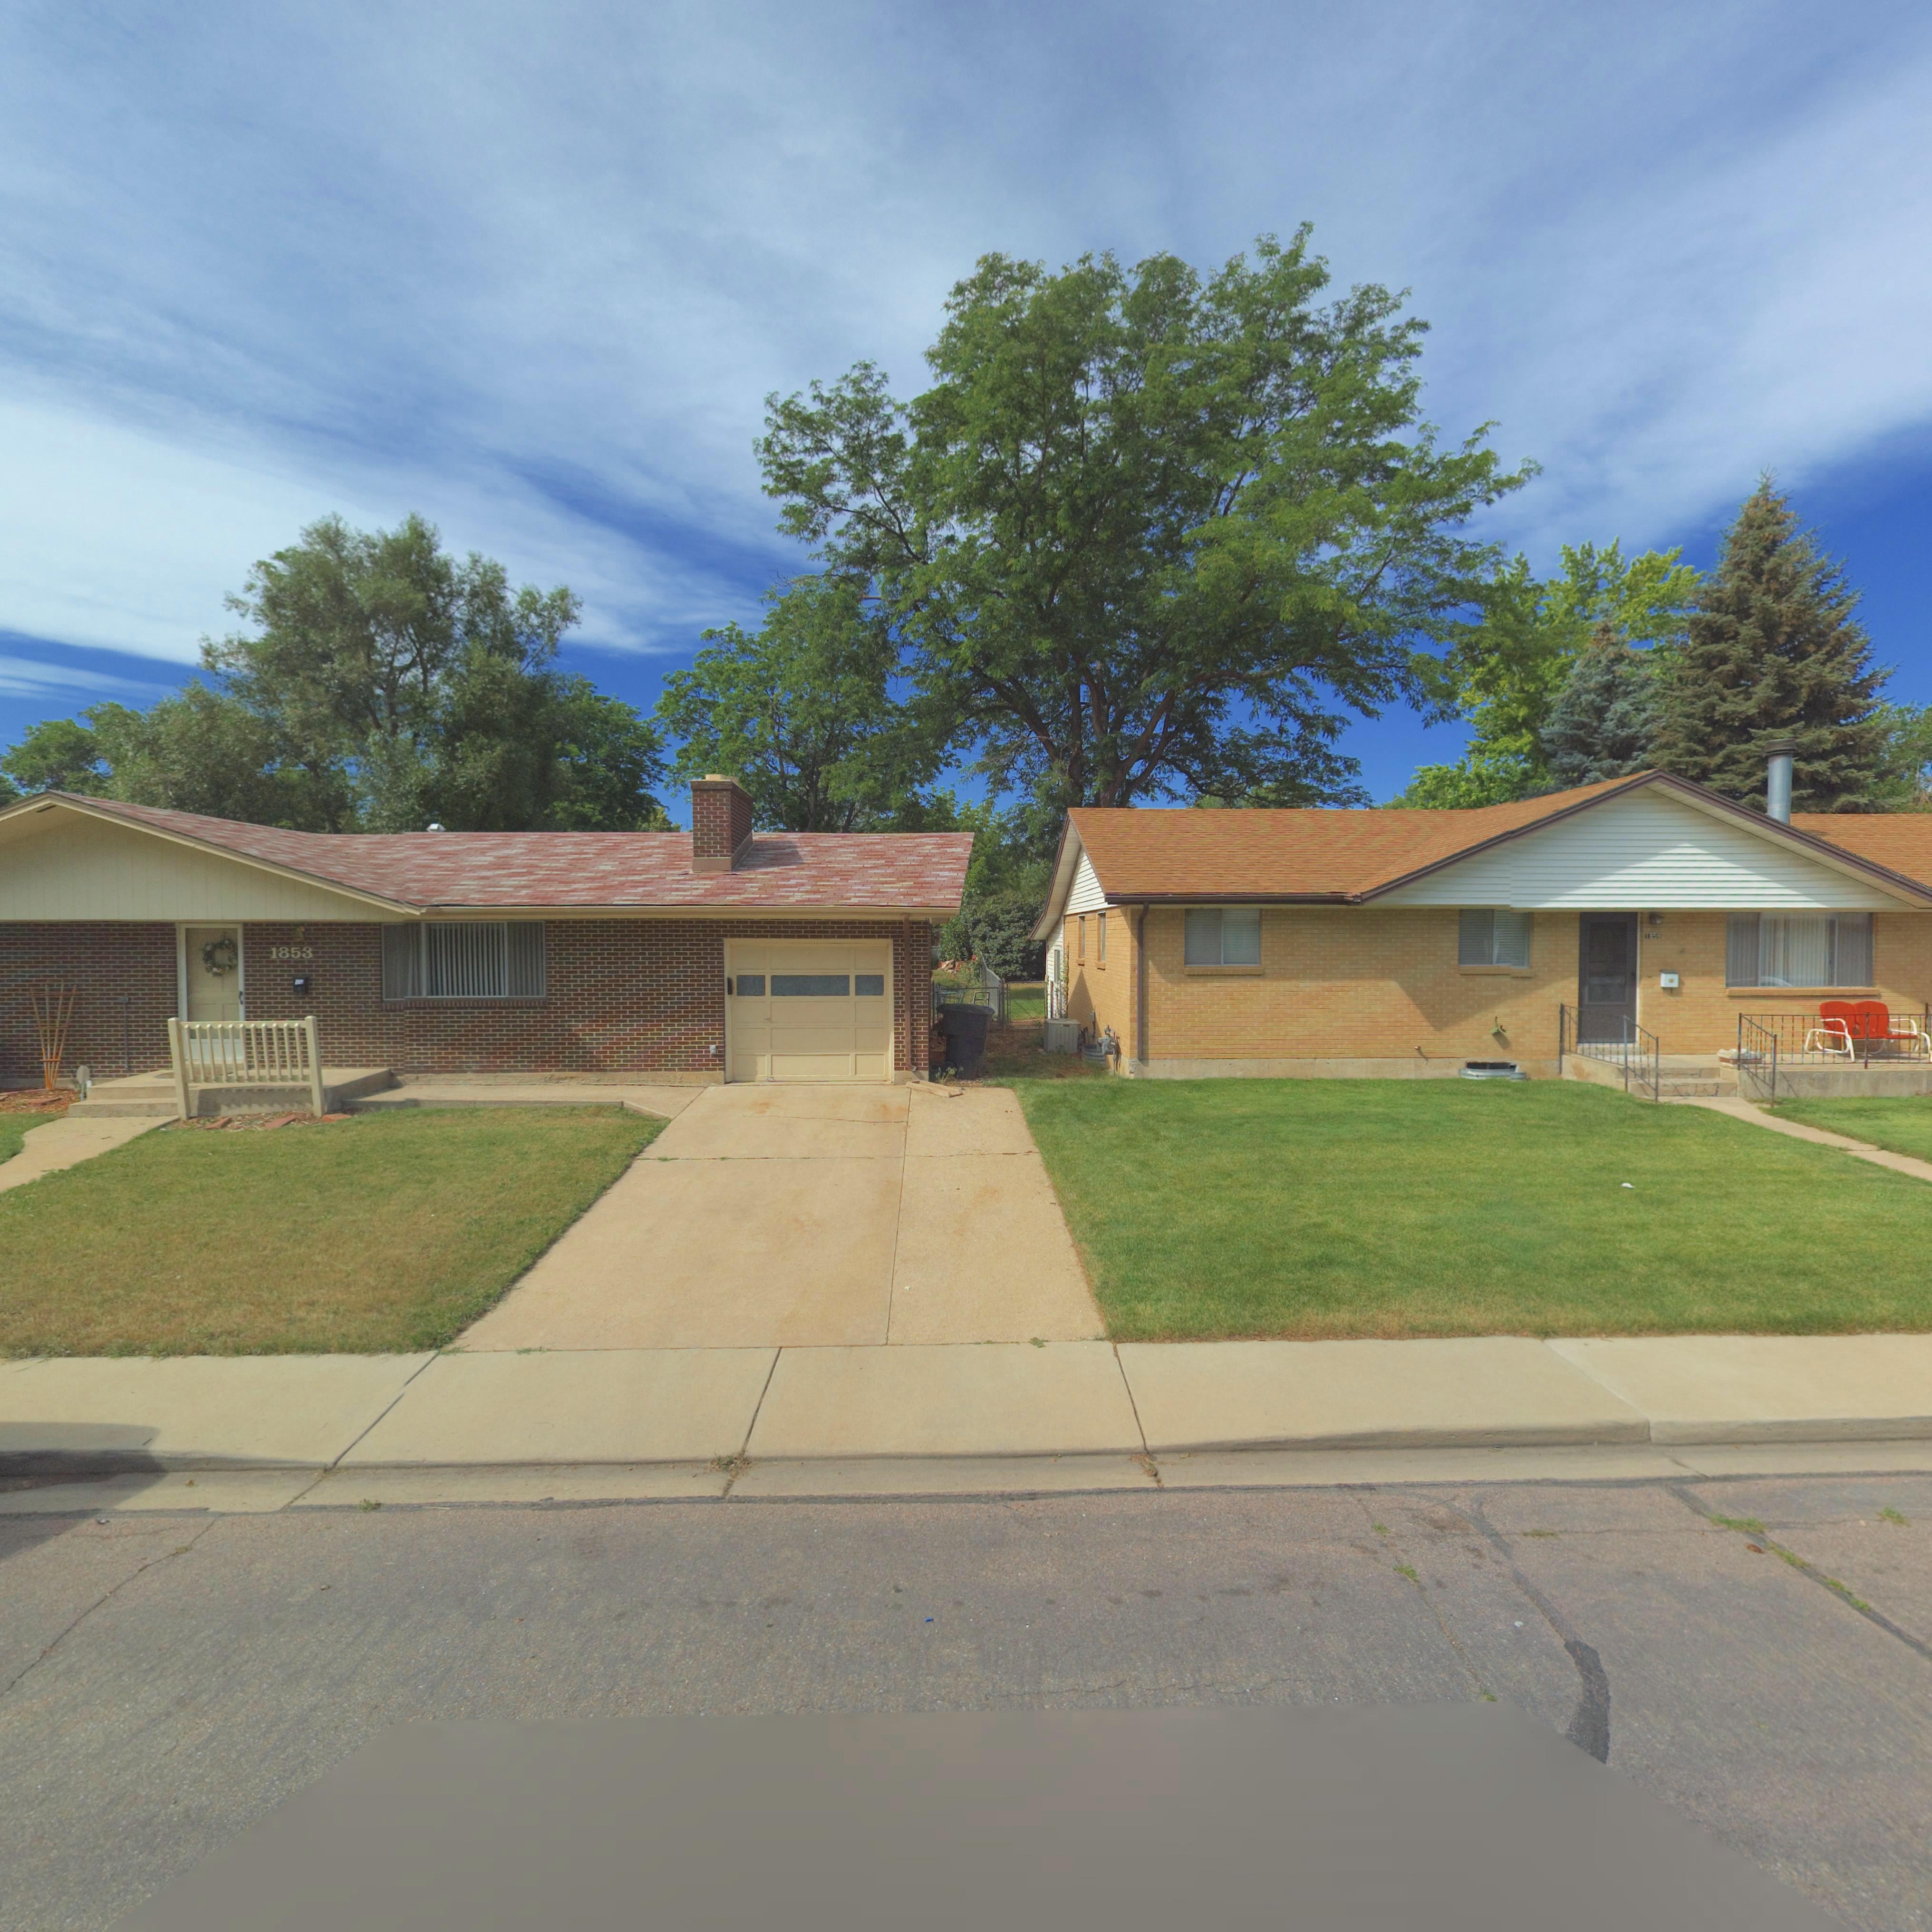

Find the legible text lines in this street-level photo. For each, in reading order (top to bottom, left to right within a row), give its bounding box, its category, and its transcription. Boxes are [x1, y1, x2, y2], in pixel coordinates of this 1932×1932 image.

[1646, 933, 1661, 939] StreetNumber: 1859
[270, 946, 313, 959] StreetNumber: 1853